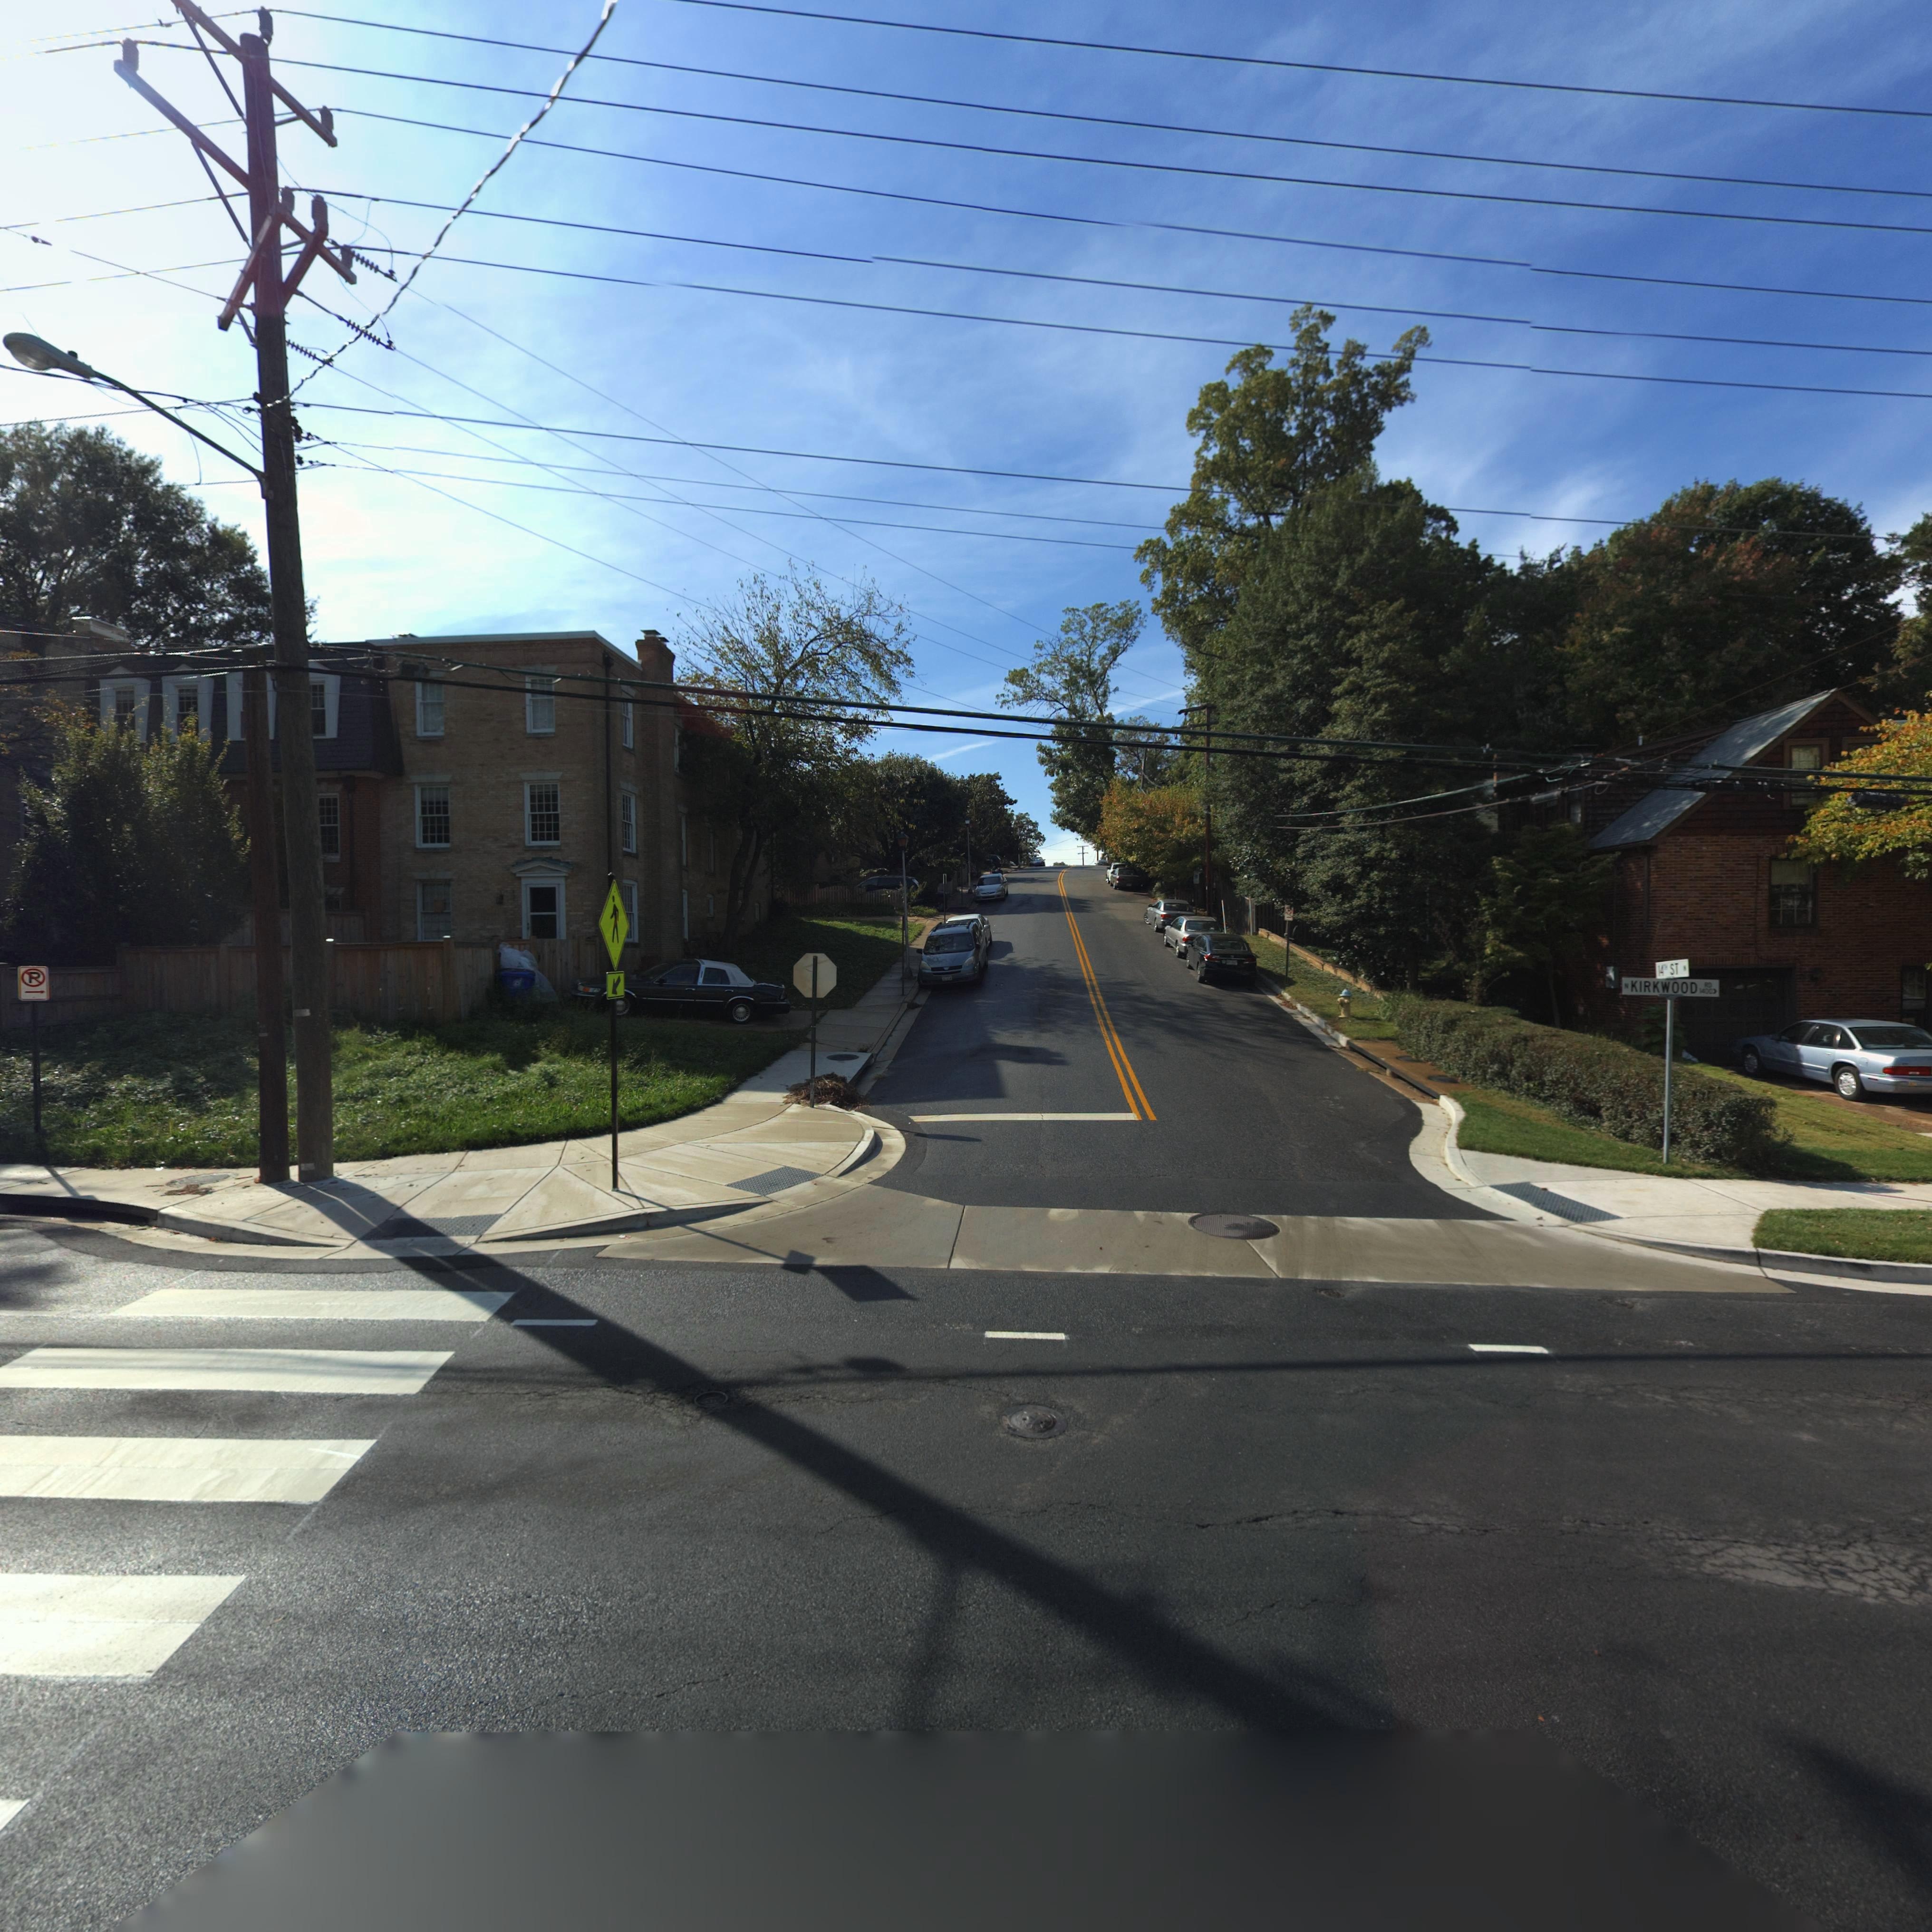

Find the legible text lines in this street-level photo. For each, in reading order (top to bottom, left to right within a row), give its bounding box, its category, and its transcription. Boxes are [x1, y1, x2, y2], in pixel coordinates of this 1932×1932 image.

[1657, 963, 1687, 978] StreetName: 14TH ST N
[1624, 979, 1713, 994] StreetName: N KIRKWOOD RD
[1699, 987, 1718, 995] StreetNumberRange: 1400->